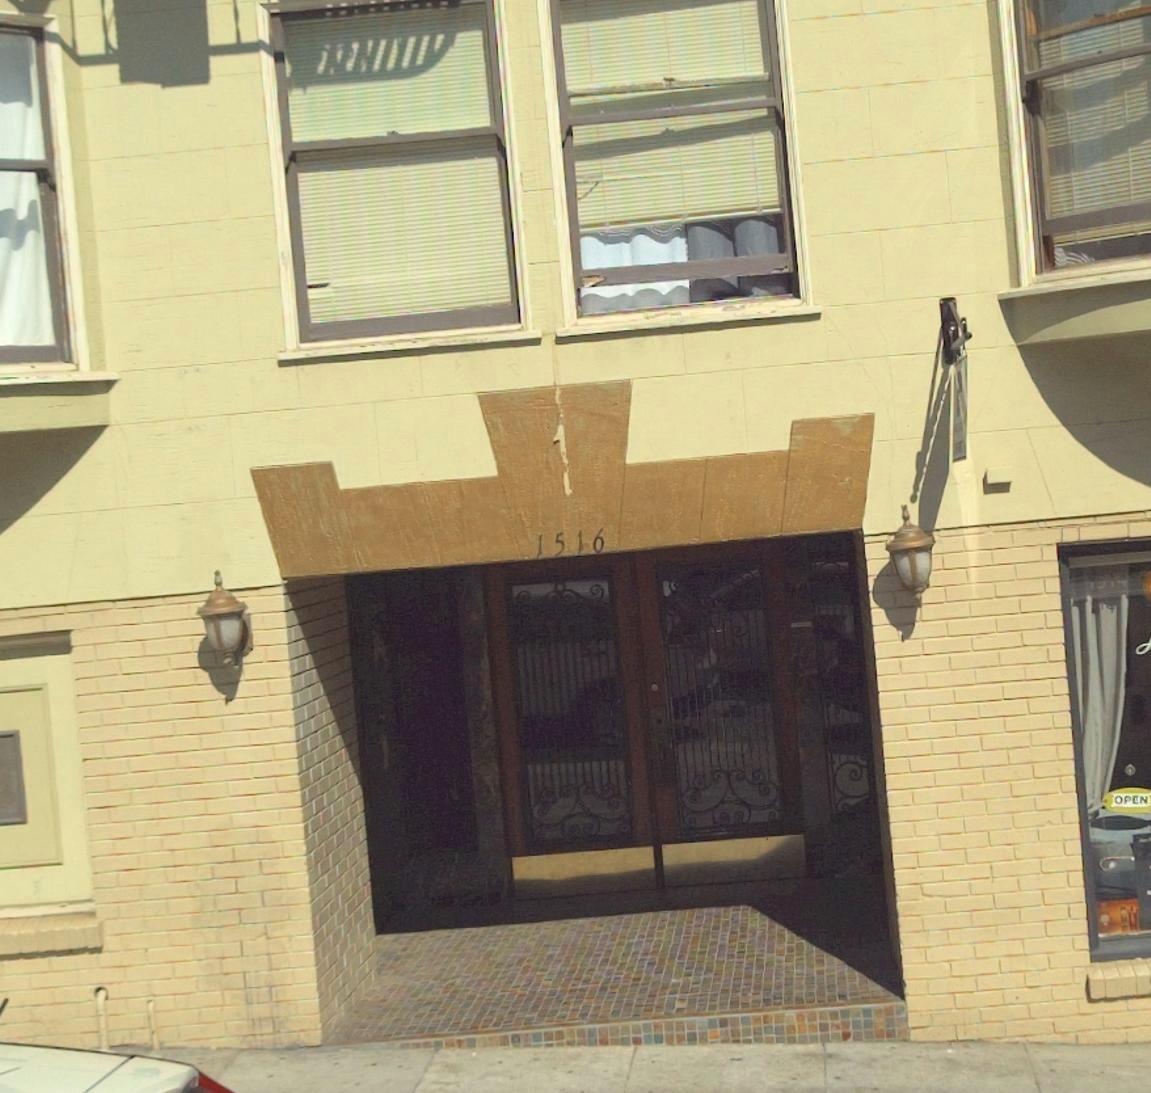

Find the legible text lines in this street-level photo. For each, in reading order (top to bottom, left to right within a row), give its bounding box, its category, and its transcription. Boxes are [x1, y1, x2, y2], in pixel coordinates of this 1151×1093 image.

[536, 526, 605, 562] StreetNumber: 1516
[1113, 795, 1149, 806] None: OPEN